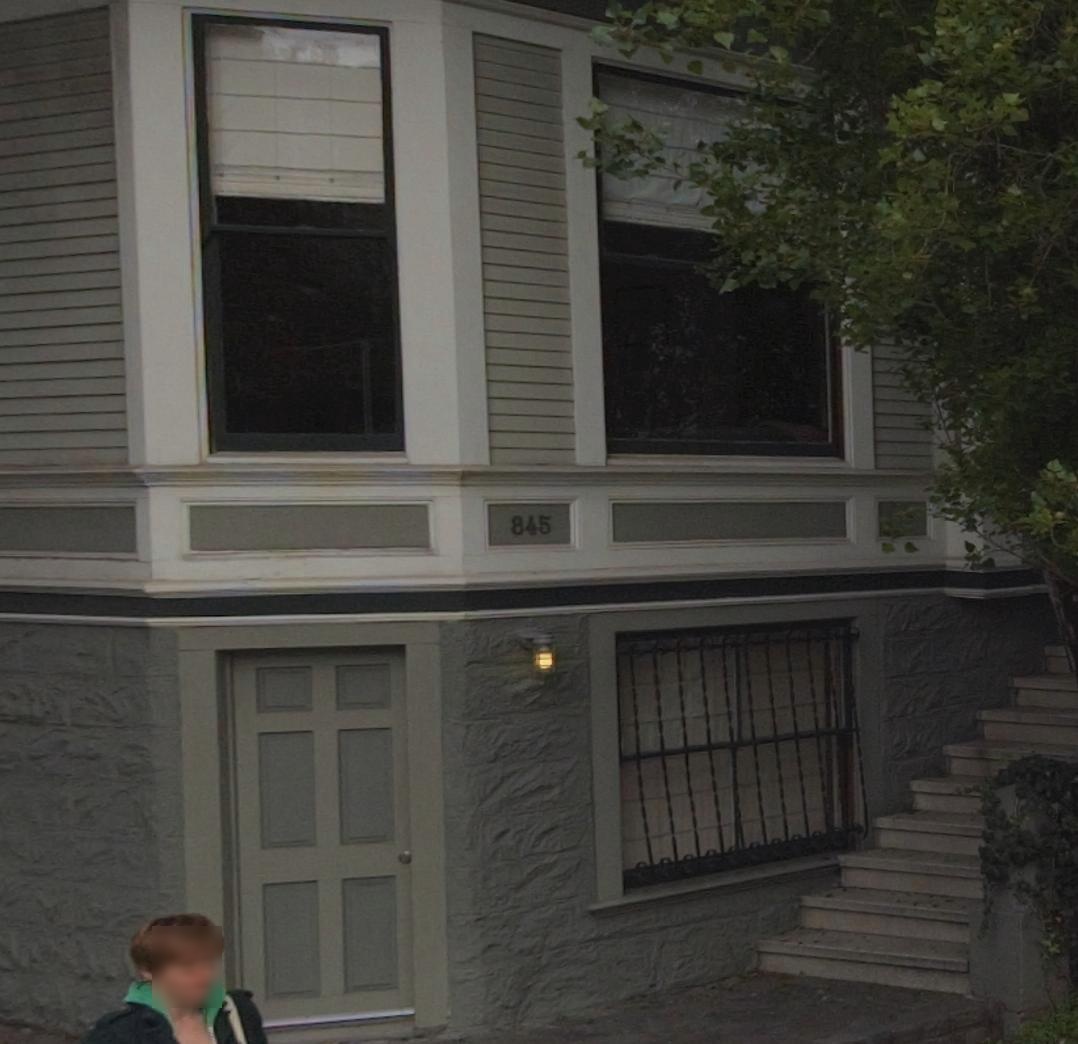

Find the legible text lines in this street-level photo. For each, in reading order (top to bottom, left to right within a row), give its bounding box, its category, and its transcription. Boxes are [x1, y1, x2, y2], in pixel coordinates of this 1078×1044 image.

[510, 513, 554, 537] StreetNumber: 845